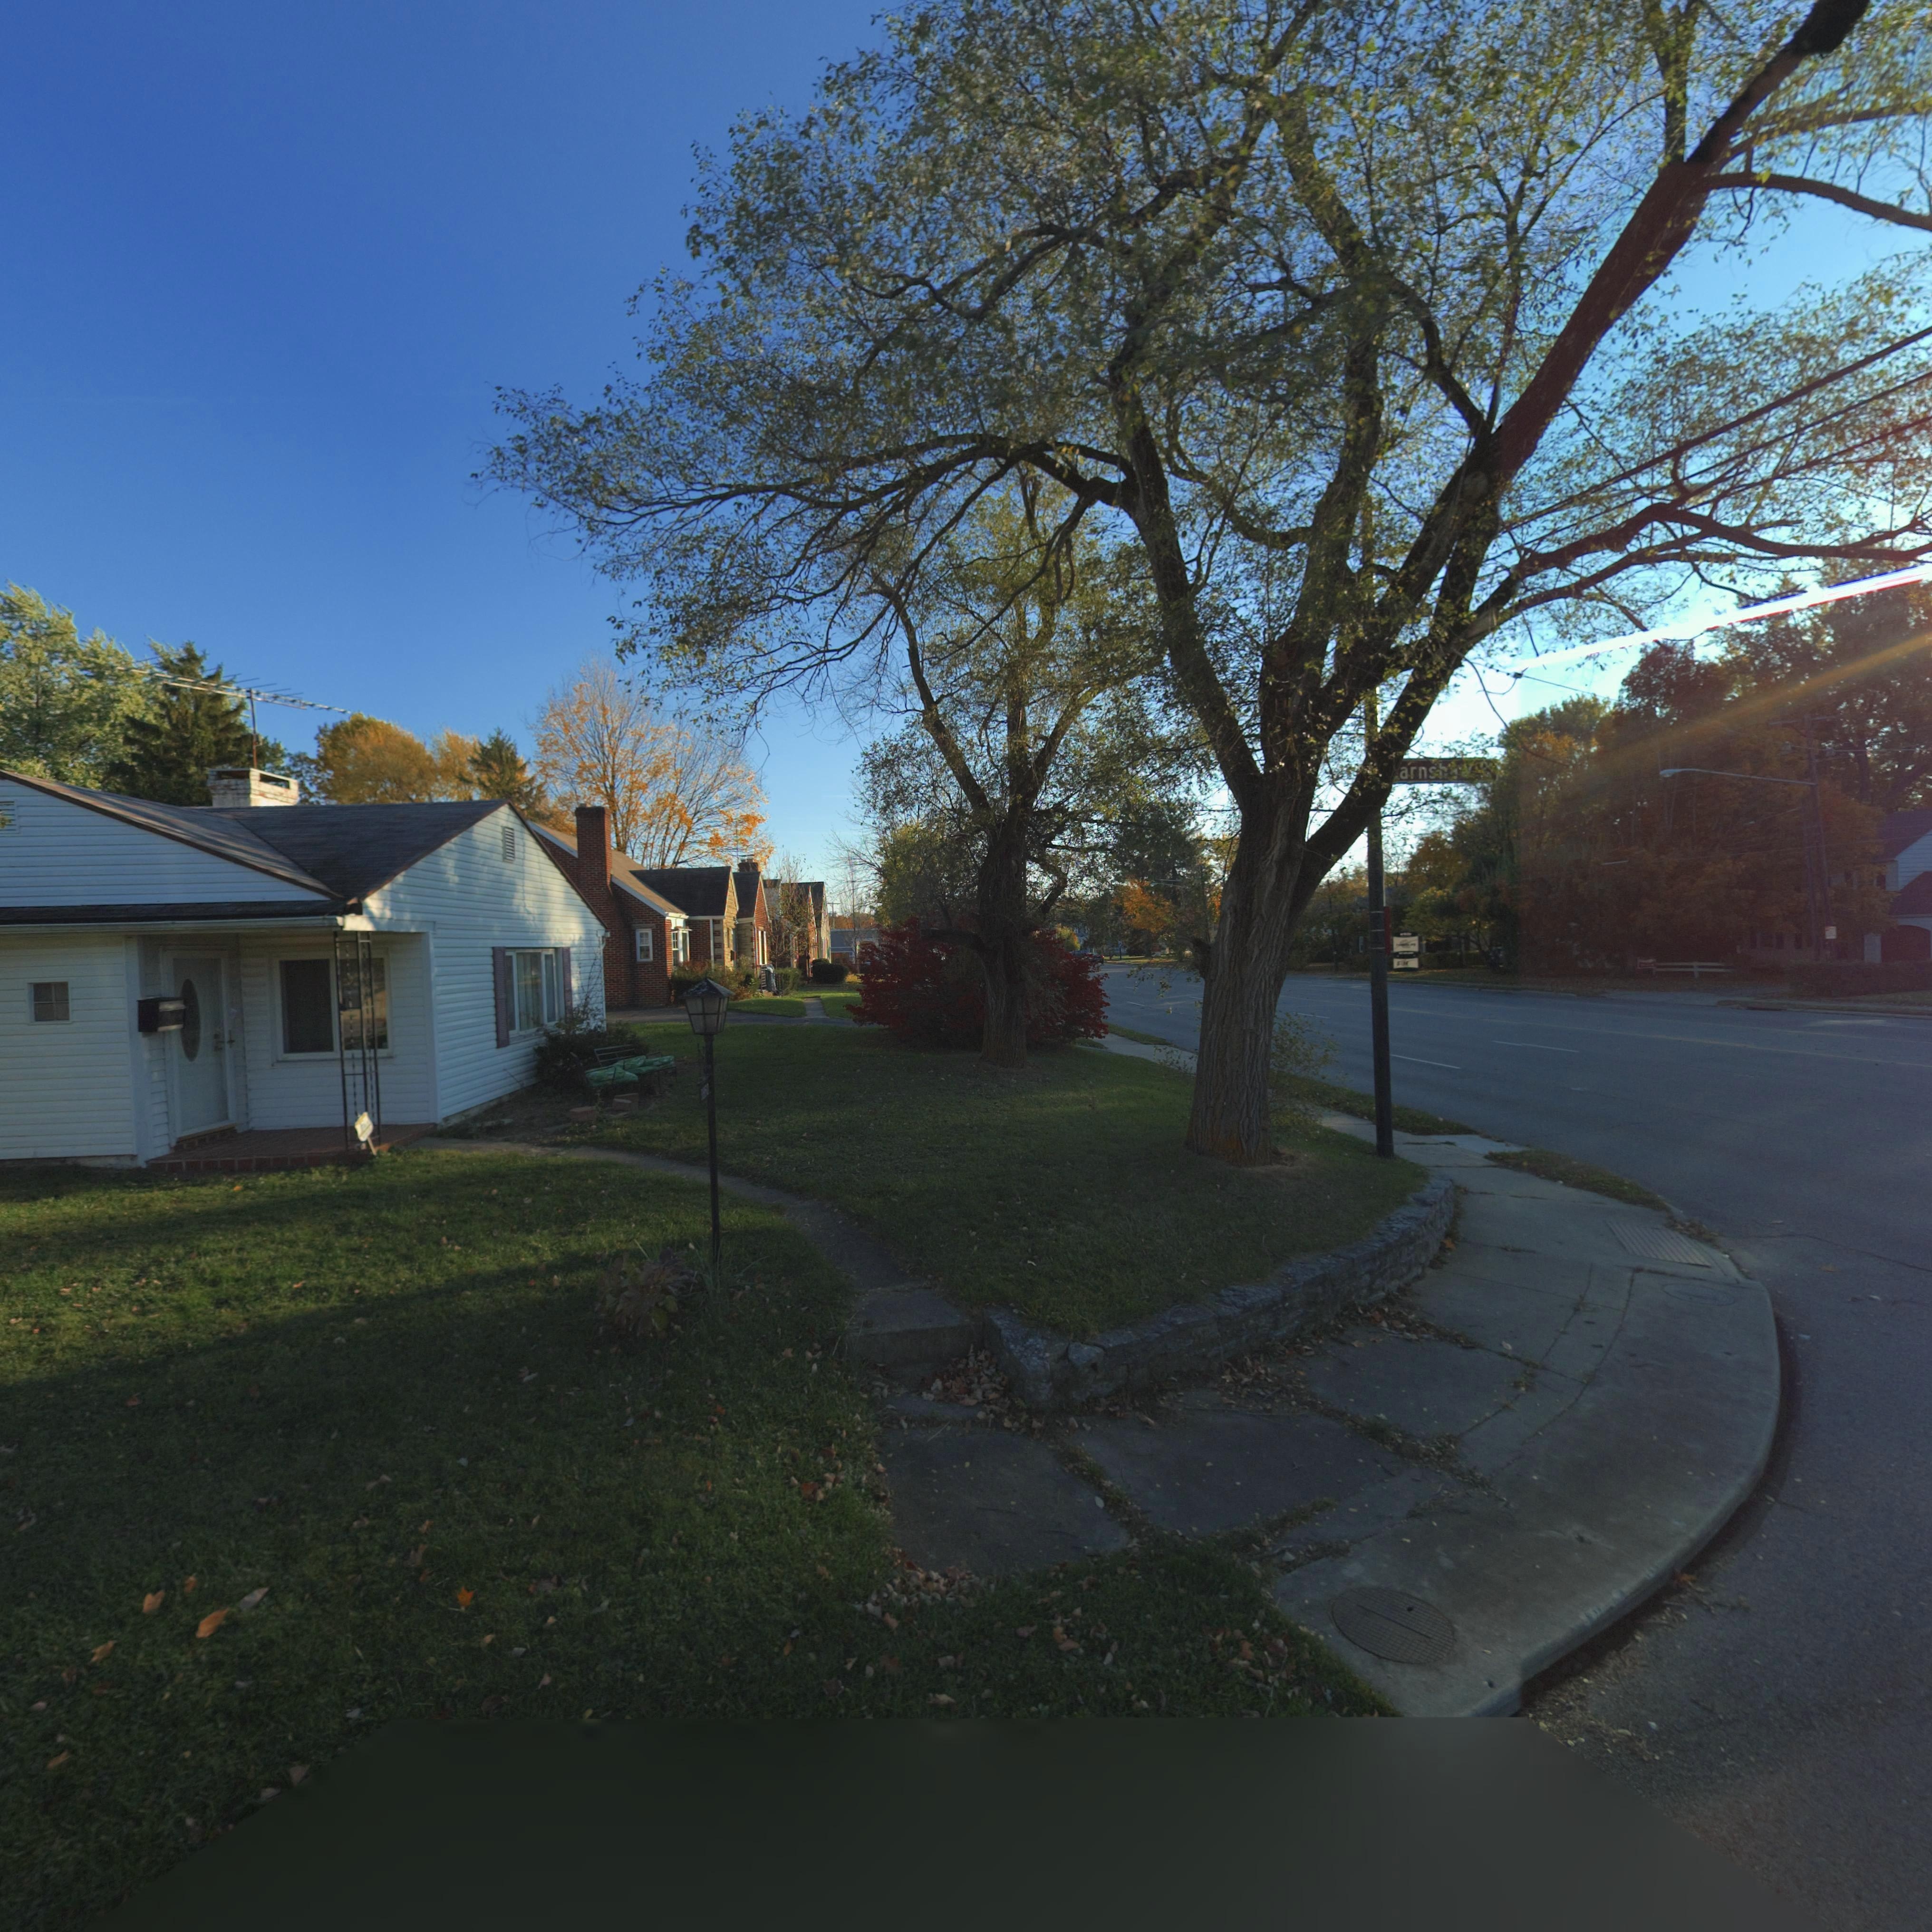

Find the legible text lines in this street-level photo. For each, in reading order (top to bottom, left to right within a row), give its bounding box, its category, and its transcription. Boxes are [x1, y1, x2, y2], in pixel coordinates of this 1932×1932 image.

[1399, 766, 1428, 780] StreetName: arn
[700, 1082, 709, 1103] StreetNumber: 3***